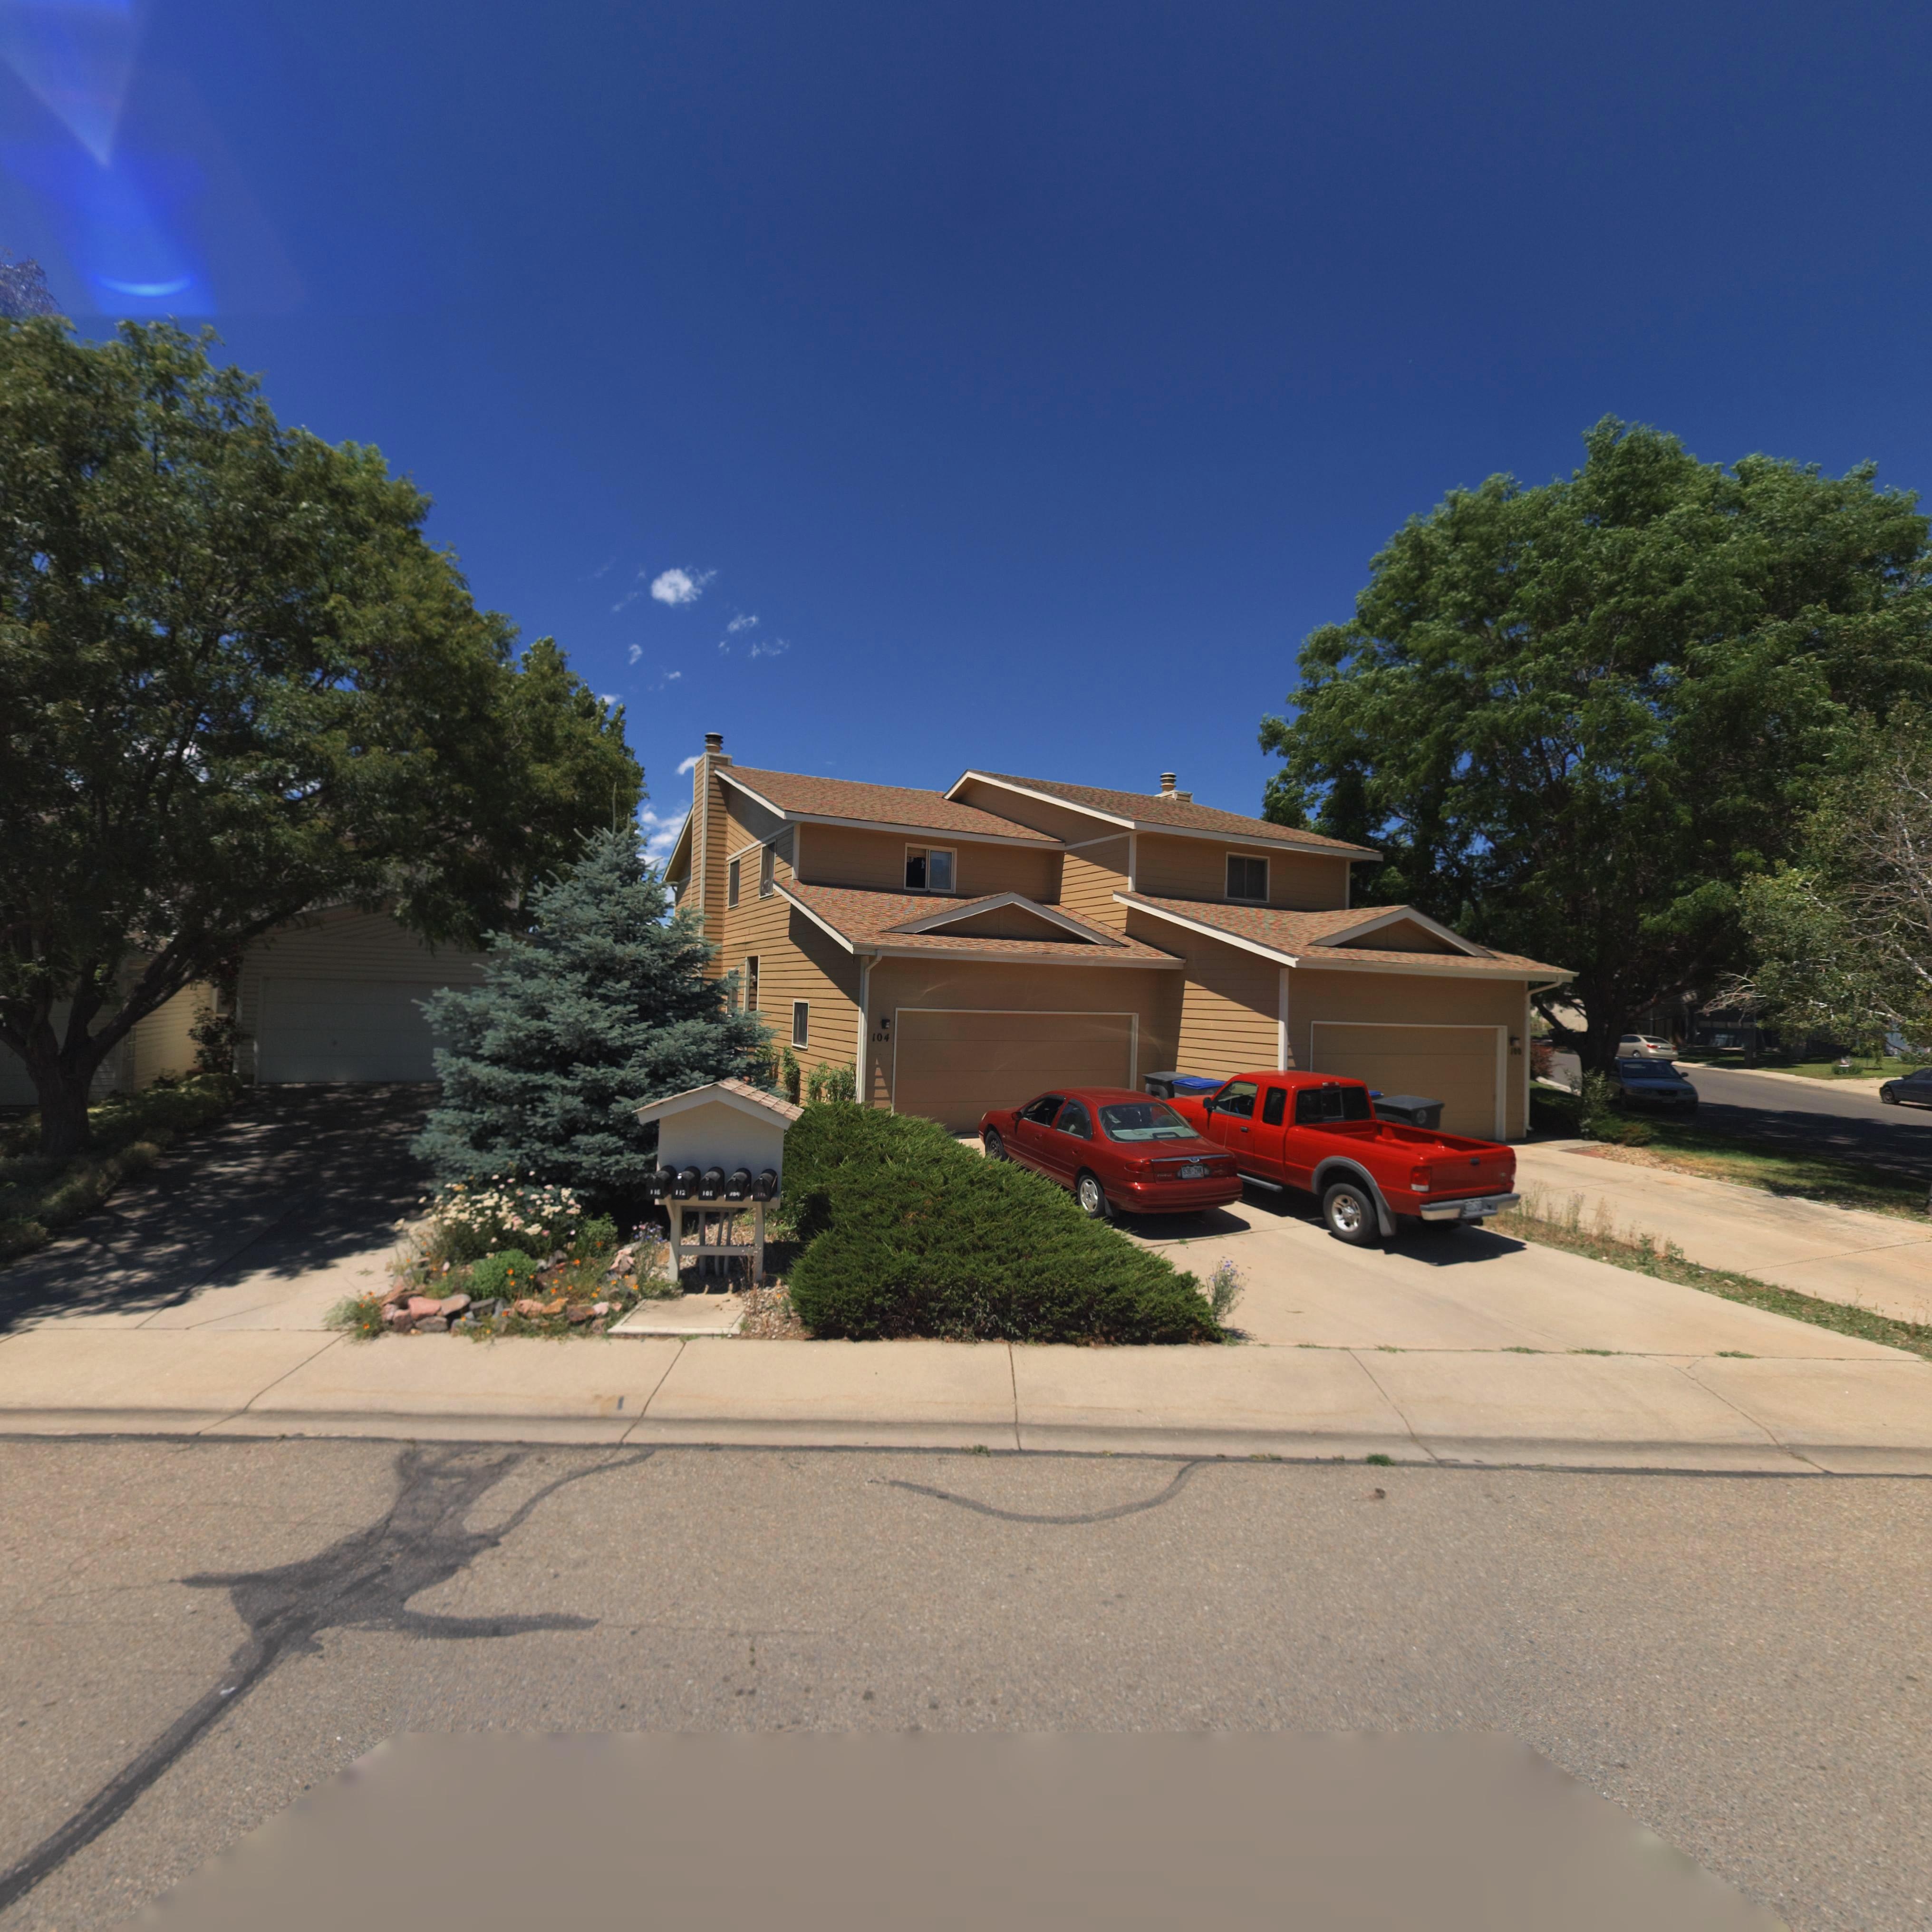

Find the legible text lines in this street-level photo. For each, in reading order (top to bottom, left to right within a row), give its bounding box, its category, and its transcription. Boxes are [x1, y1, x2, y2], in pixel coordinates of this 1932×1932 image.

[871, 1032, 890, 1042] StreetNumber: 104
[650, 1188, 660, 1195] StreetNumber: 116
[675, 1189, 686, 1195] StreetNumber: 112
[702, 1190, 713, 1196] StreetNumber: 108
[729, 1191, 741, 1197] StreetNumber: 10*
[757, 1192, 766, 1197] StreetNumber: 100